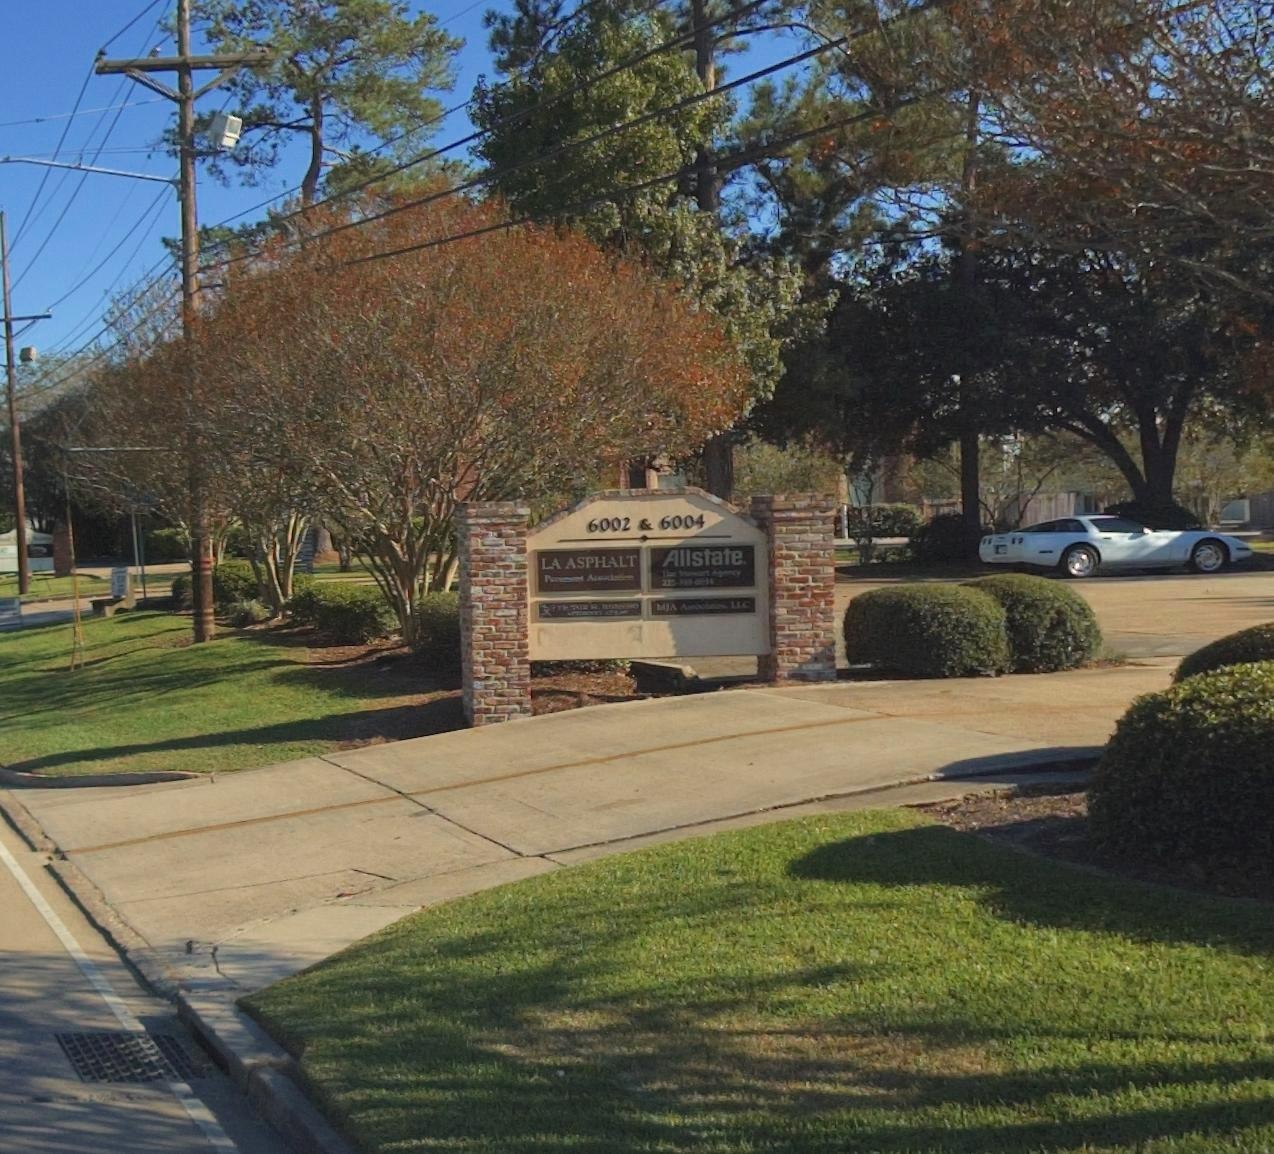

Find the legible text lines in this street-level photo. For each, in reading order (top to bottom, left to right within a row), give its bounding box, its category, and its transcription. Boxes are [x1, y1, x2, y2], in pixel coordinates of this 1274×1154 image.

[586, 515, 632, 533] StreetNumber: 6002
[658, 512, 708, 532] StreetNumber: 6004
[540, 553, 638, 571] BusinessName: LA ASPHALT
[661, 547, 748, 569] BusinessName: Allstate
[729, 599, 752, 611] None: LLC